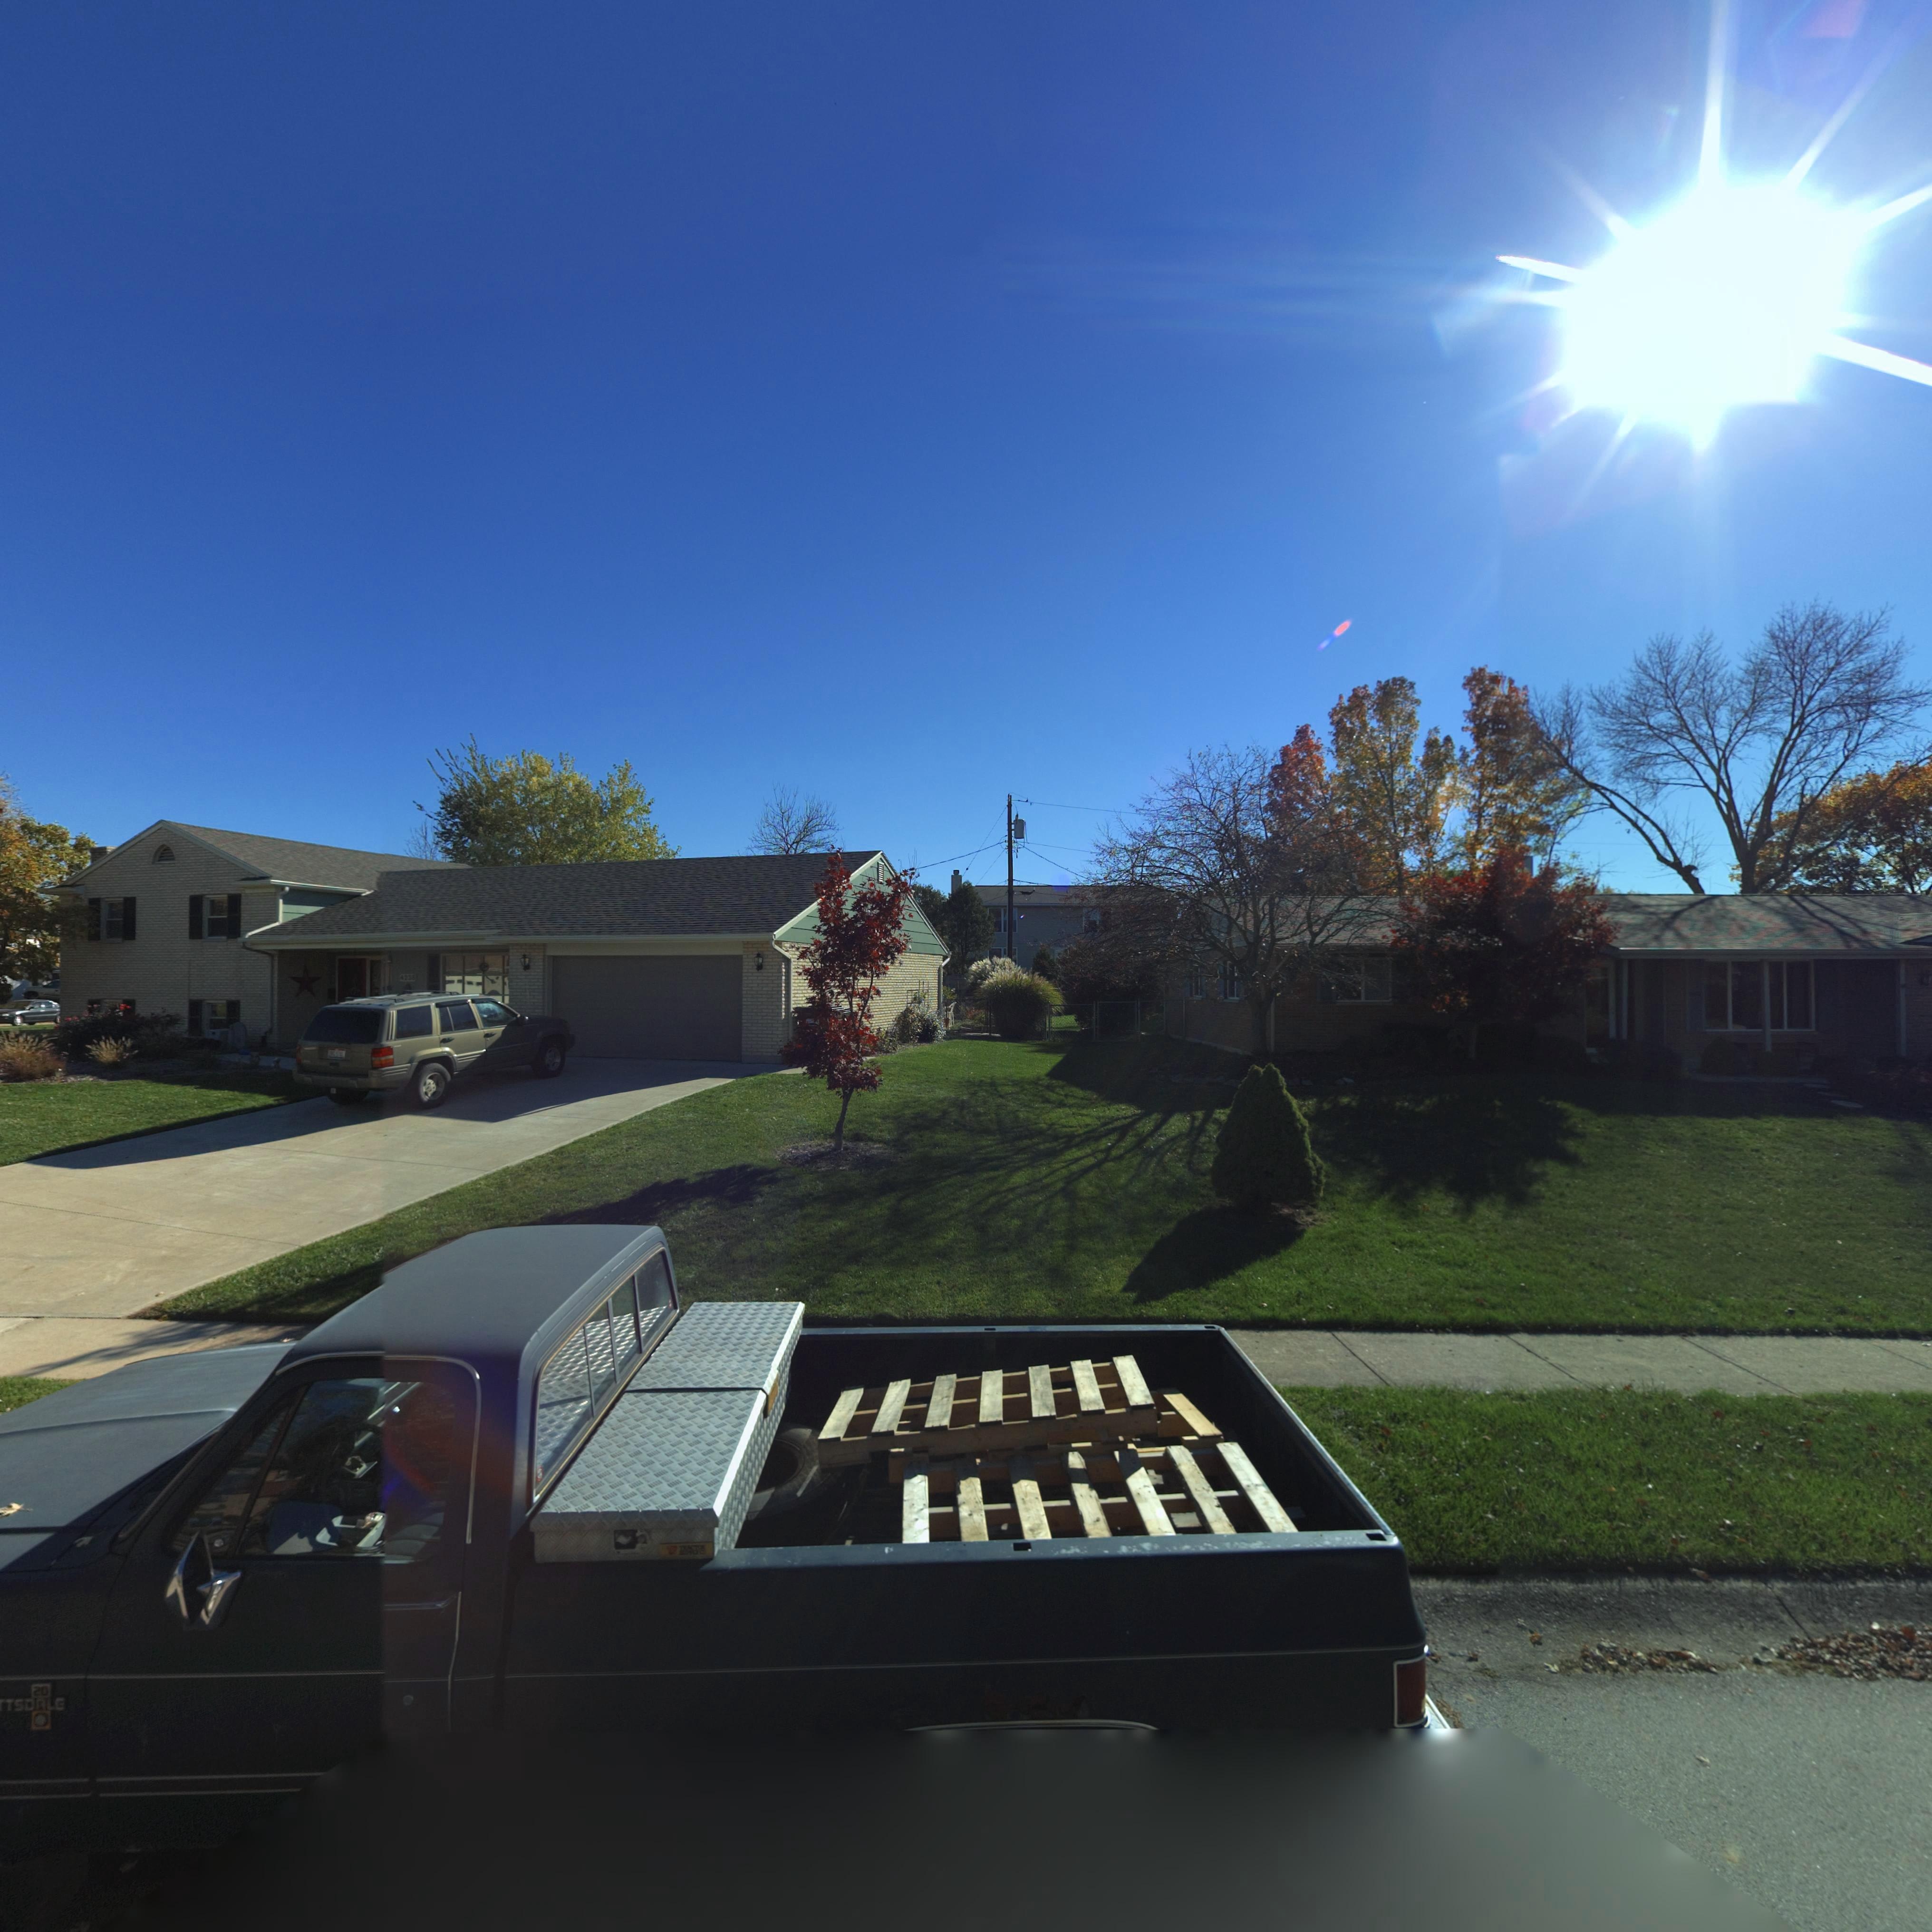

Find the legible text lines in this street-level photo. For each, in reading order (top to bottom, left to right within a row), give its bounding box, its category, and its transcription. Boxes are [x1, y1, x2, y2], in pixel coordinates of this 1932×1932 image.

[400, 974, 416, 982] StreetNumber: *2**